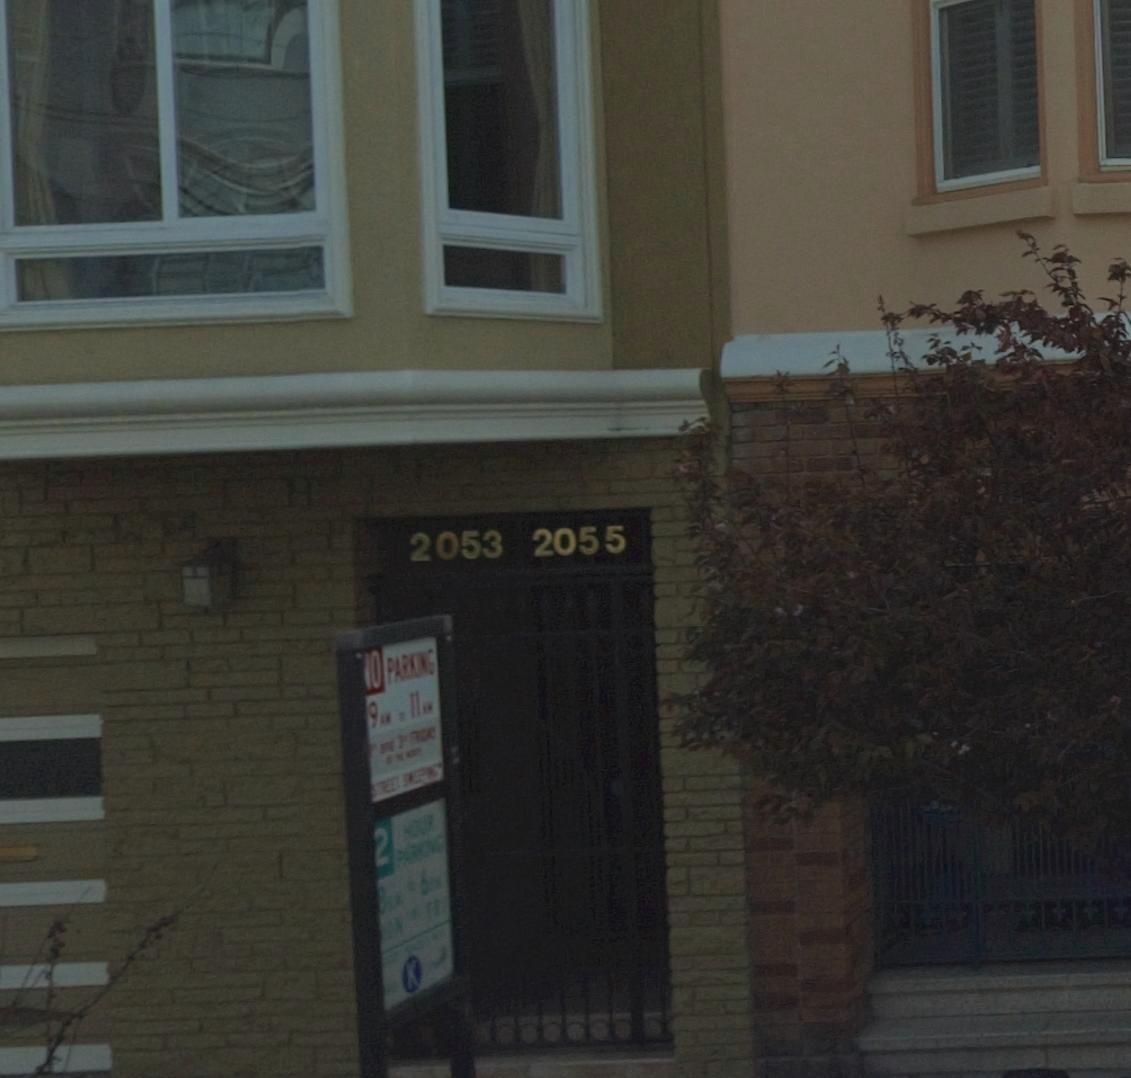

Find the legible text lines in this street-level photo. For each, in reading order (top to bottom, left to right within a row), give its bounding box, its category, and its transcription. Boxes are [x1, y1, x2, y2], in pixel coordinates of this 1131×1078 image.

[407, 525, 506, 565] StreetNumber: 2053
[530, 522, 629, 561] StreetNumber: 2055
[366, 643, 439, 693] None: O PARK**G
[365, 684, 437, 733] None: 9** ** 11**
[371, 823, 394, 869] None: 2
[416, 863, 434, 899] None: 6
[402, 954, 424, 995] None: K